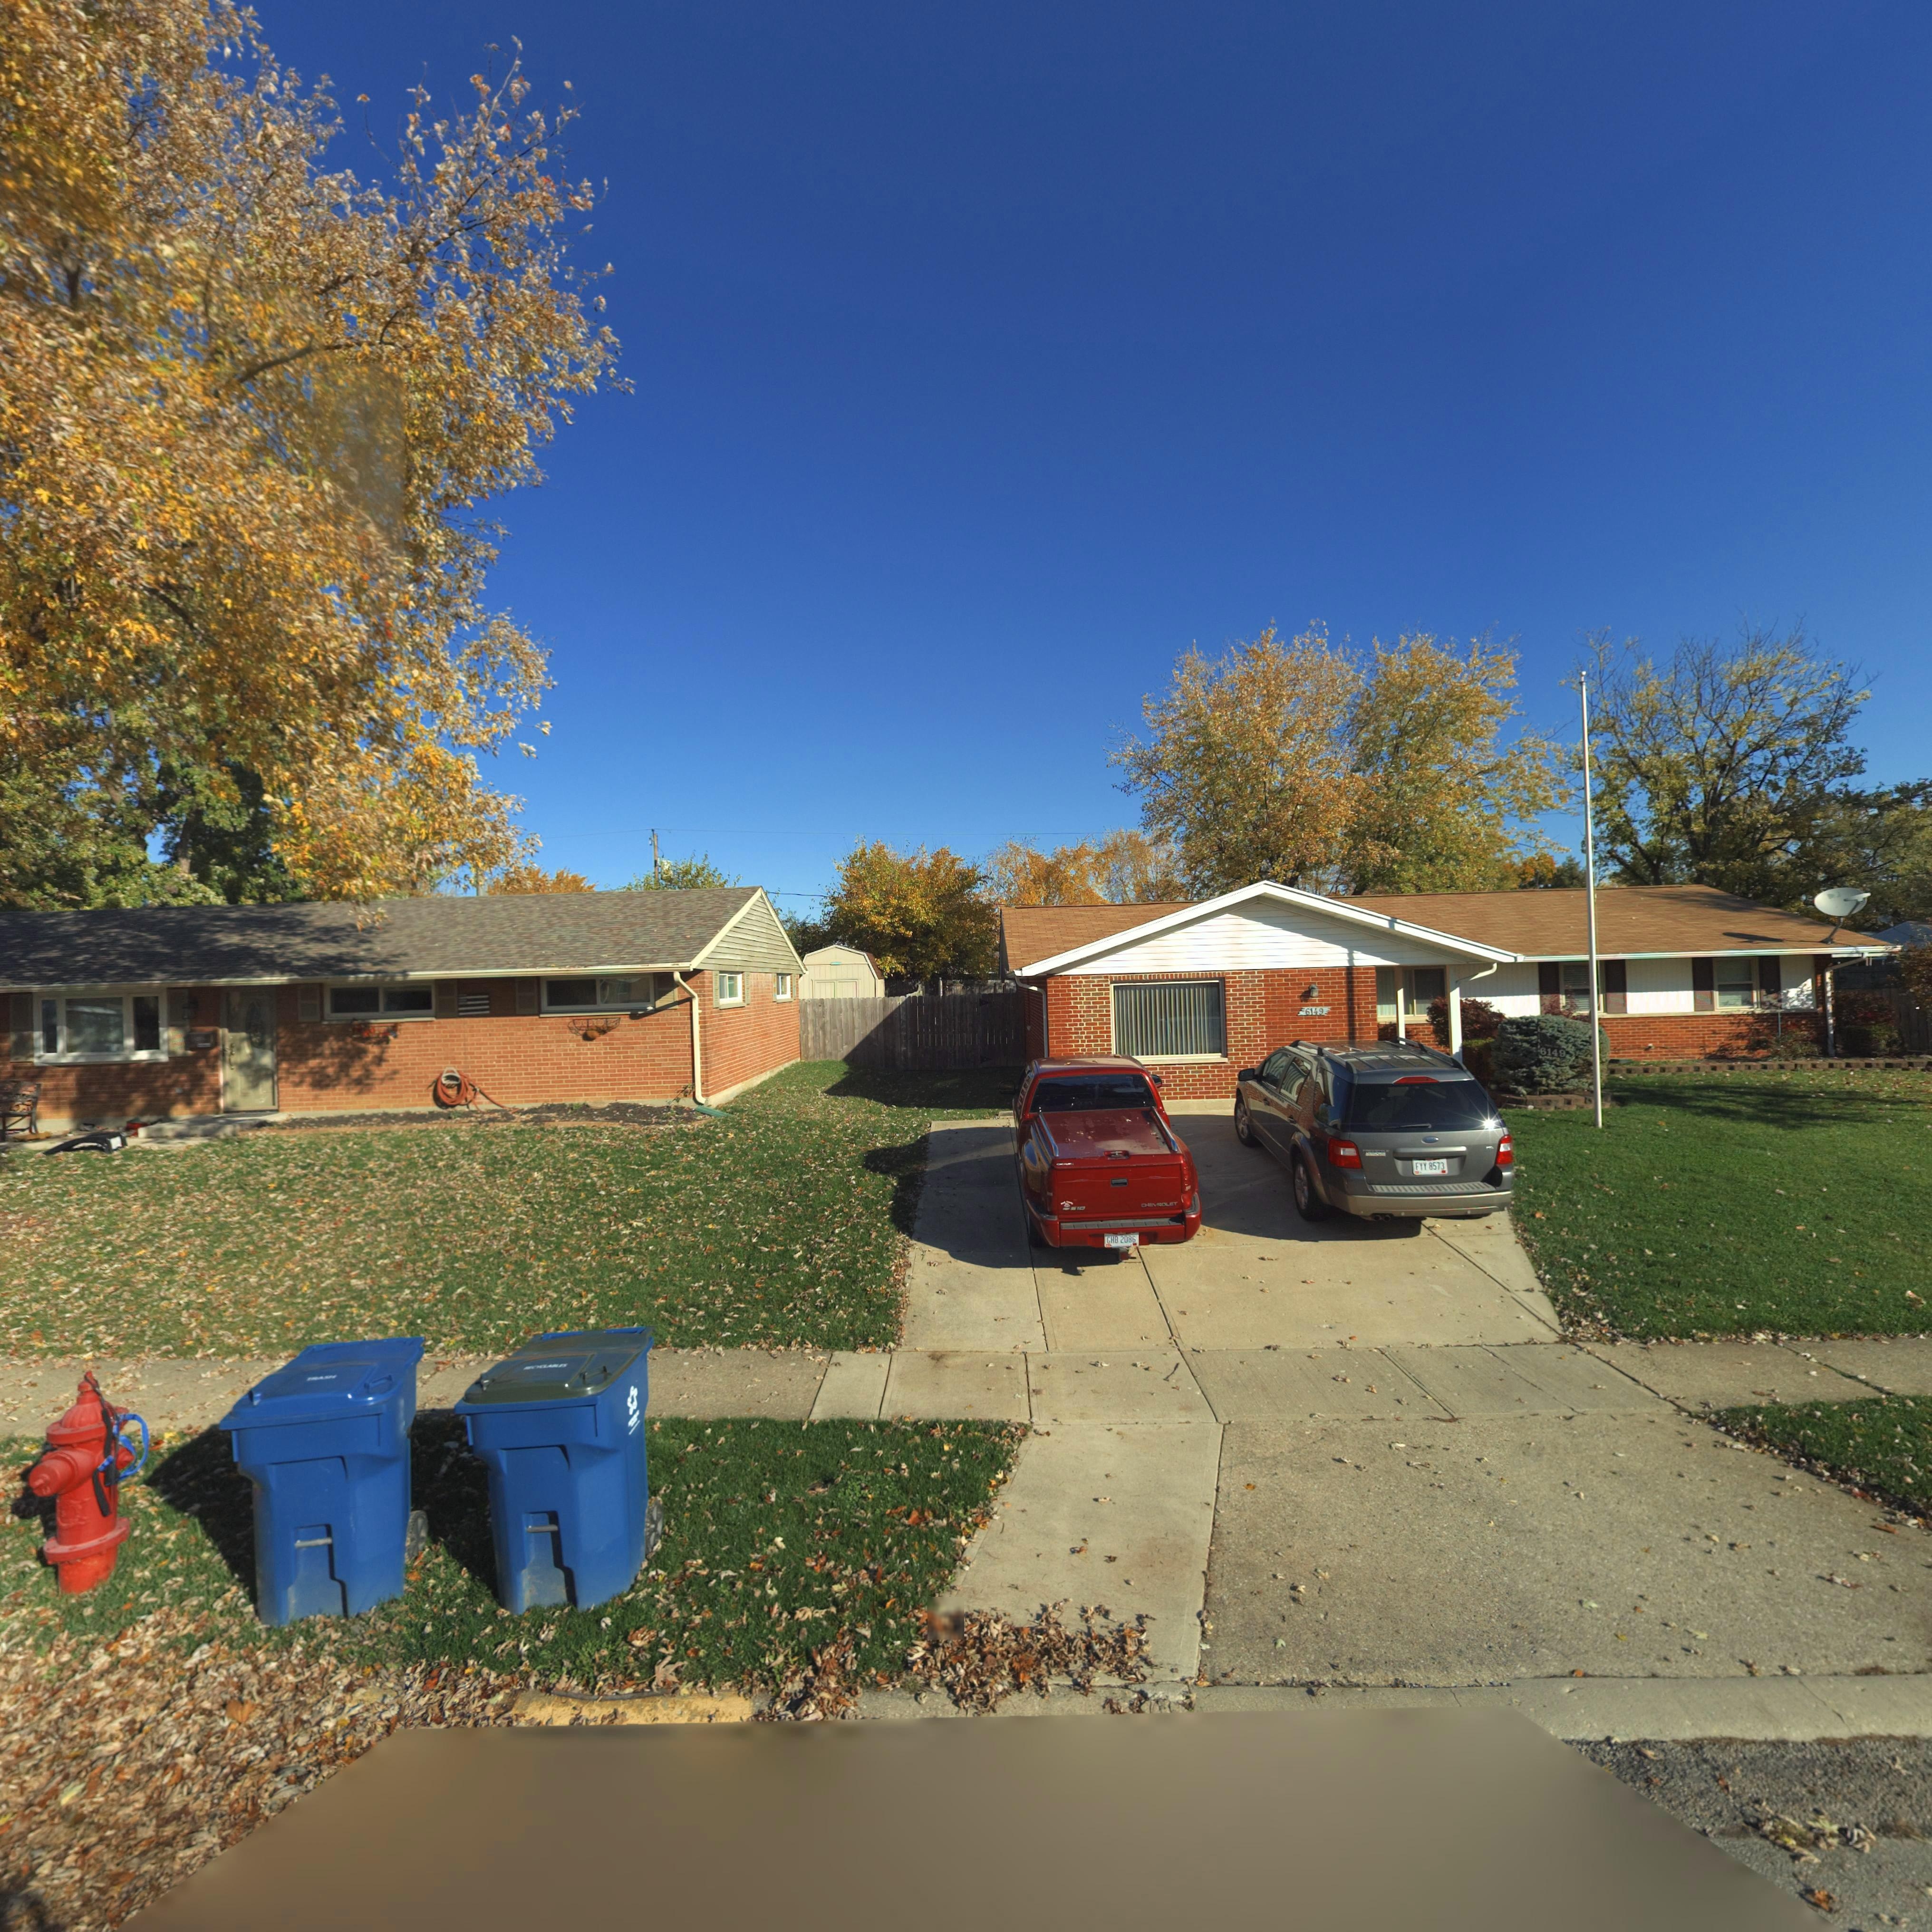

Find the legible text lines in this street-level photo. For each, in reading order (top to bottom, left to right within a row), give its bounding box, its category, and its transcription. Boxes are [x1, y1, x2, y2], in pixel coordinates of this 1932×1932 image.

[1305, 1007, 1323, 1016] StreetNumber: 6149
[1539, 1047, 1567, 1058] StreetNumber: 6149